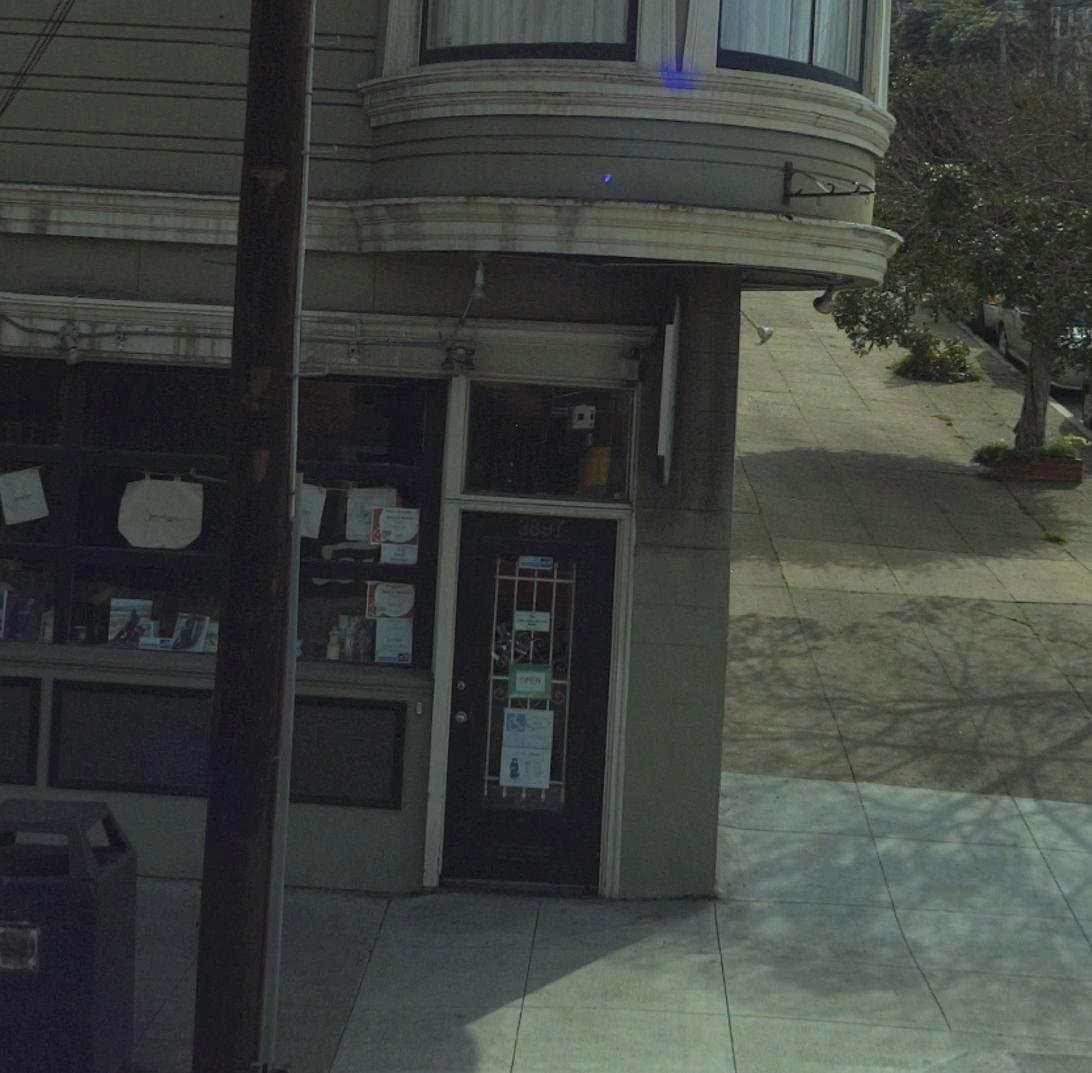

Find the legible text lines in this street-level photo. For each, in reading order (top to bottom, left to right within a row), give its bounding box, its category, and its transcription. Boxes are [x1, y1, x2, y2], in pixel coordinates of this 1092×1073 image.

[513, 518, 567, 540] StreetNumber: 3897
[519, 675, 541, 685] None: OPEN